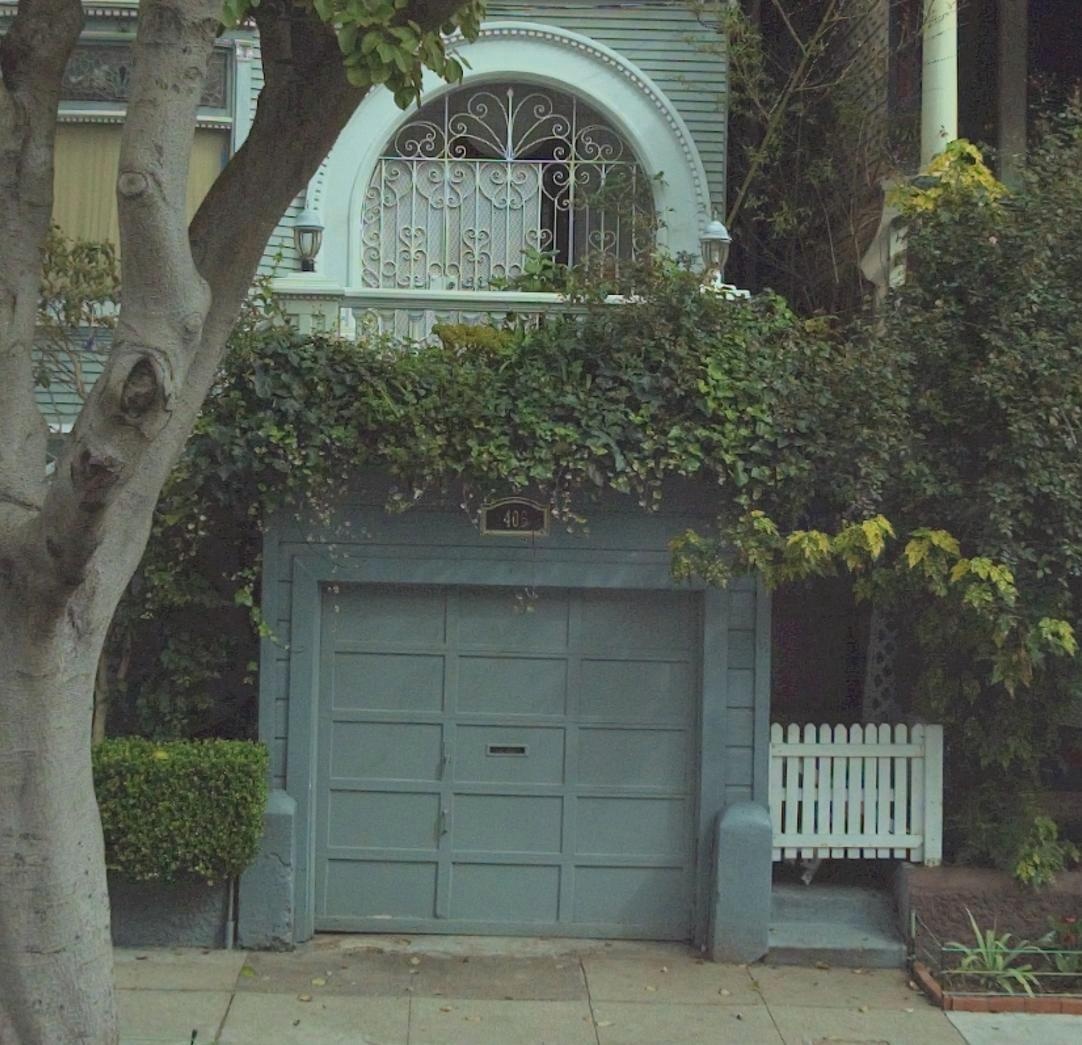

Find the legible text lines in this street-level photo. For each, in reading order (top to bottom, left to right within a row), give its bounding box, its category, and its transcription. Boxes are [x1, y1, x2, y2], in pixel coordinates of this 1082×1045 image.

[501, 508, 529, 529] StreetNumber: 406